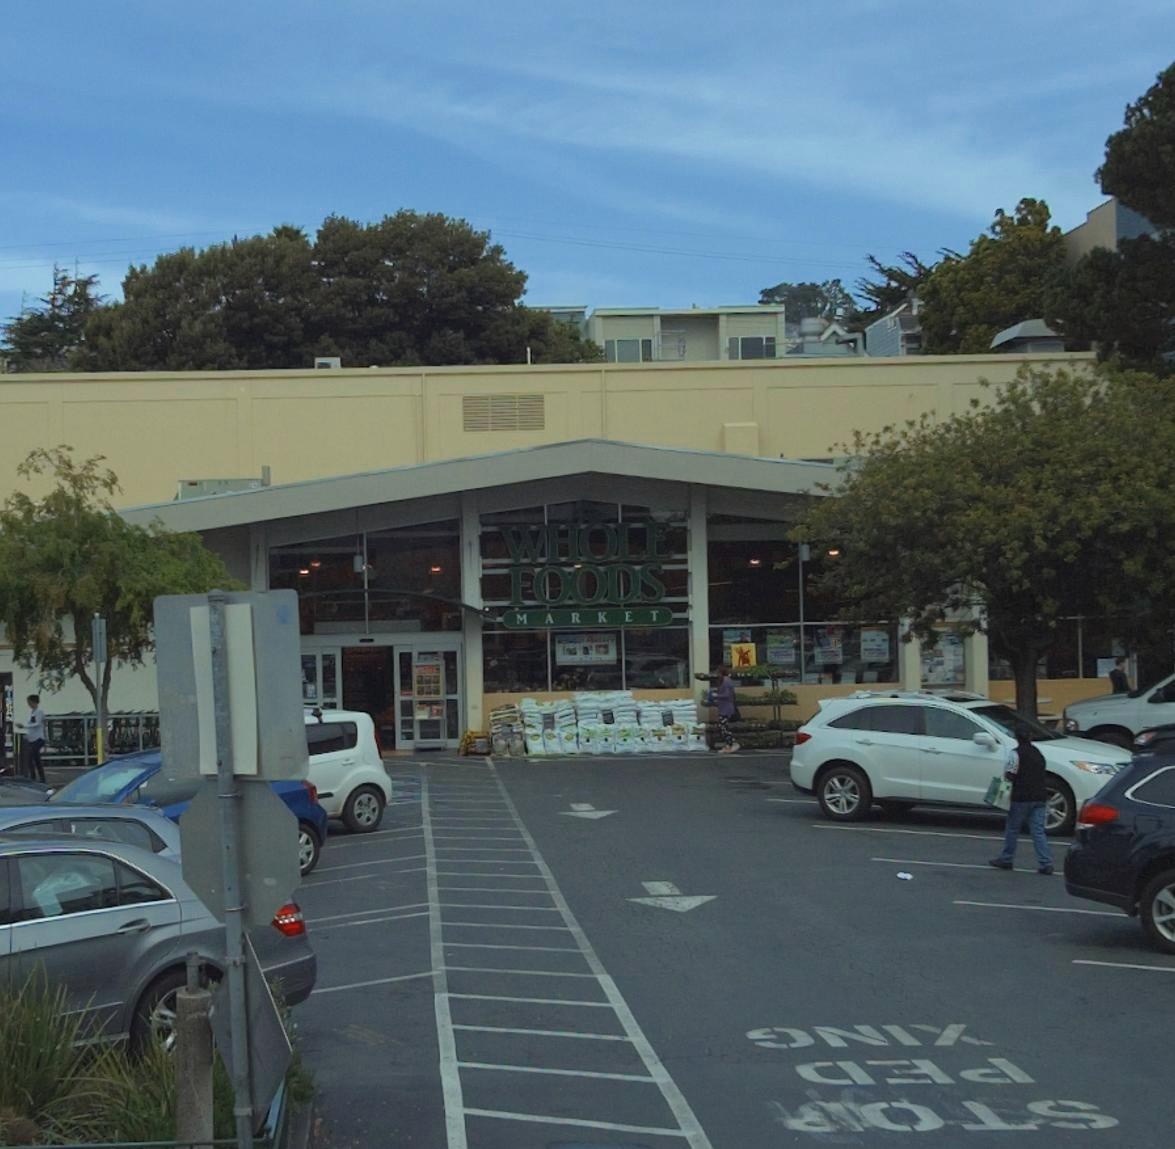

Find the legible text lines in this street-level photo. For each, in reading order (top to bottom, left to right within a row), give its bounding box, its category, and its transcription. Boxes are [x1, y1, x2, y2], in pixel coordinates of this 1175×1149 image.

[496, 522, 674, 565] BusinessName: WHOLE
[506, 565, 667, 608] BusinessName: FOODS
[515, 609, 662, 626] BusinessName: MARKET
[744, 1022, 999, 1050] None: **IX
[787, 1099, 1120, 1134] None: *O**